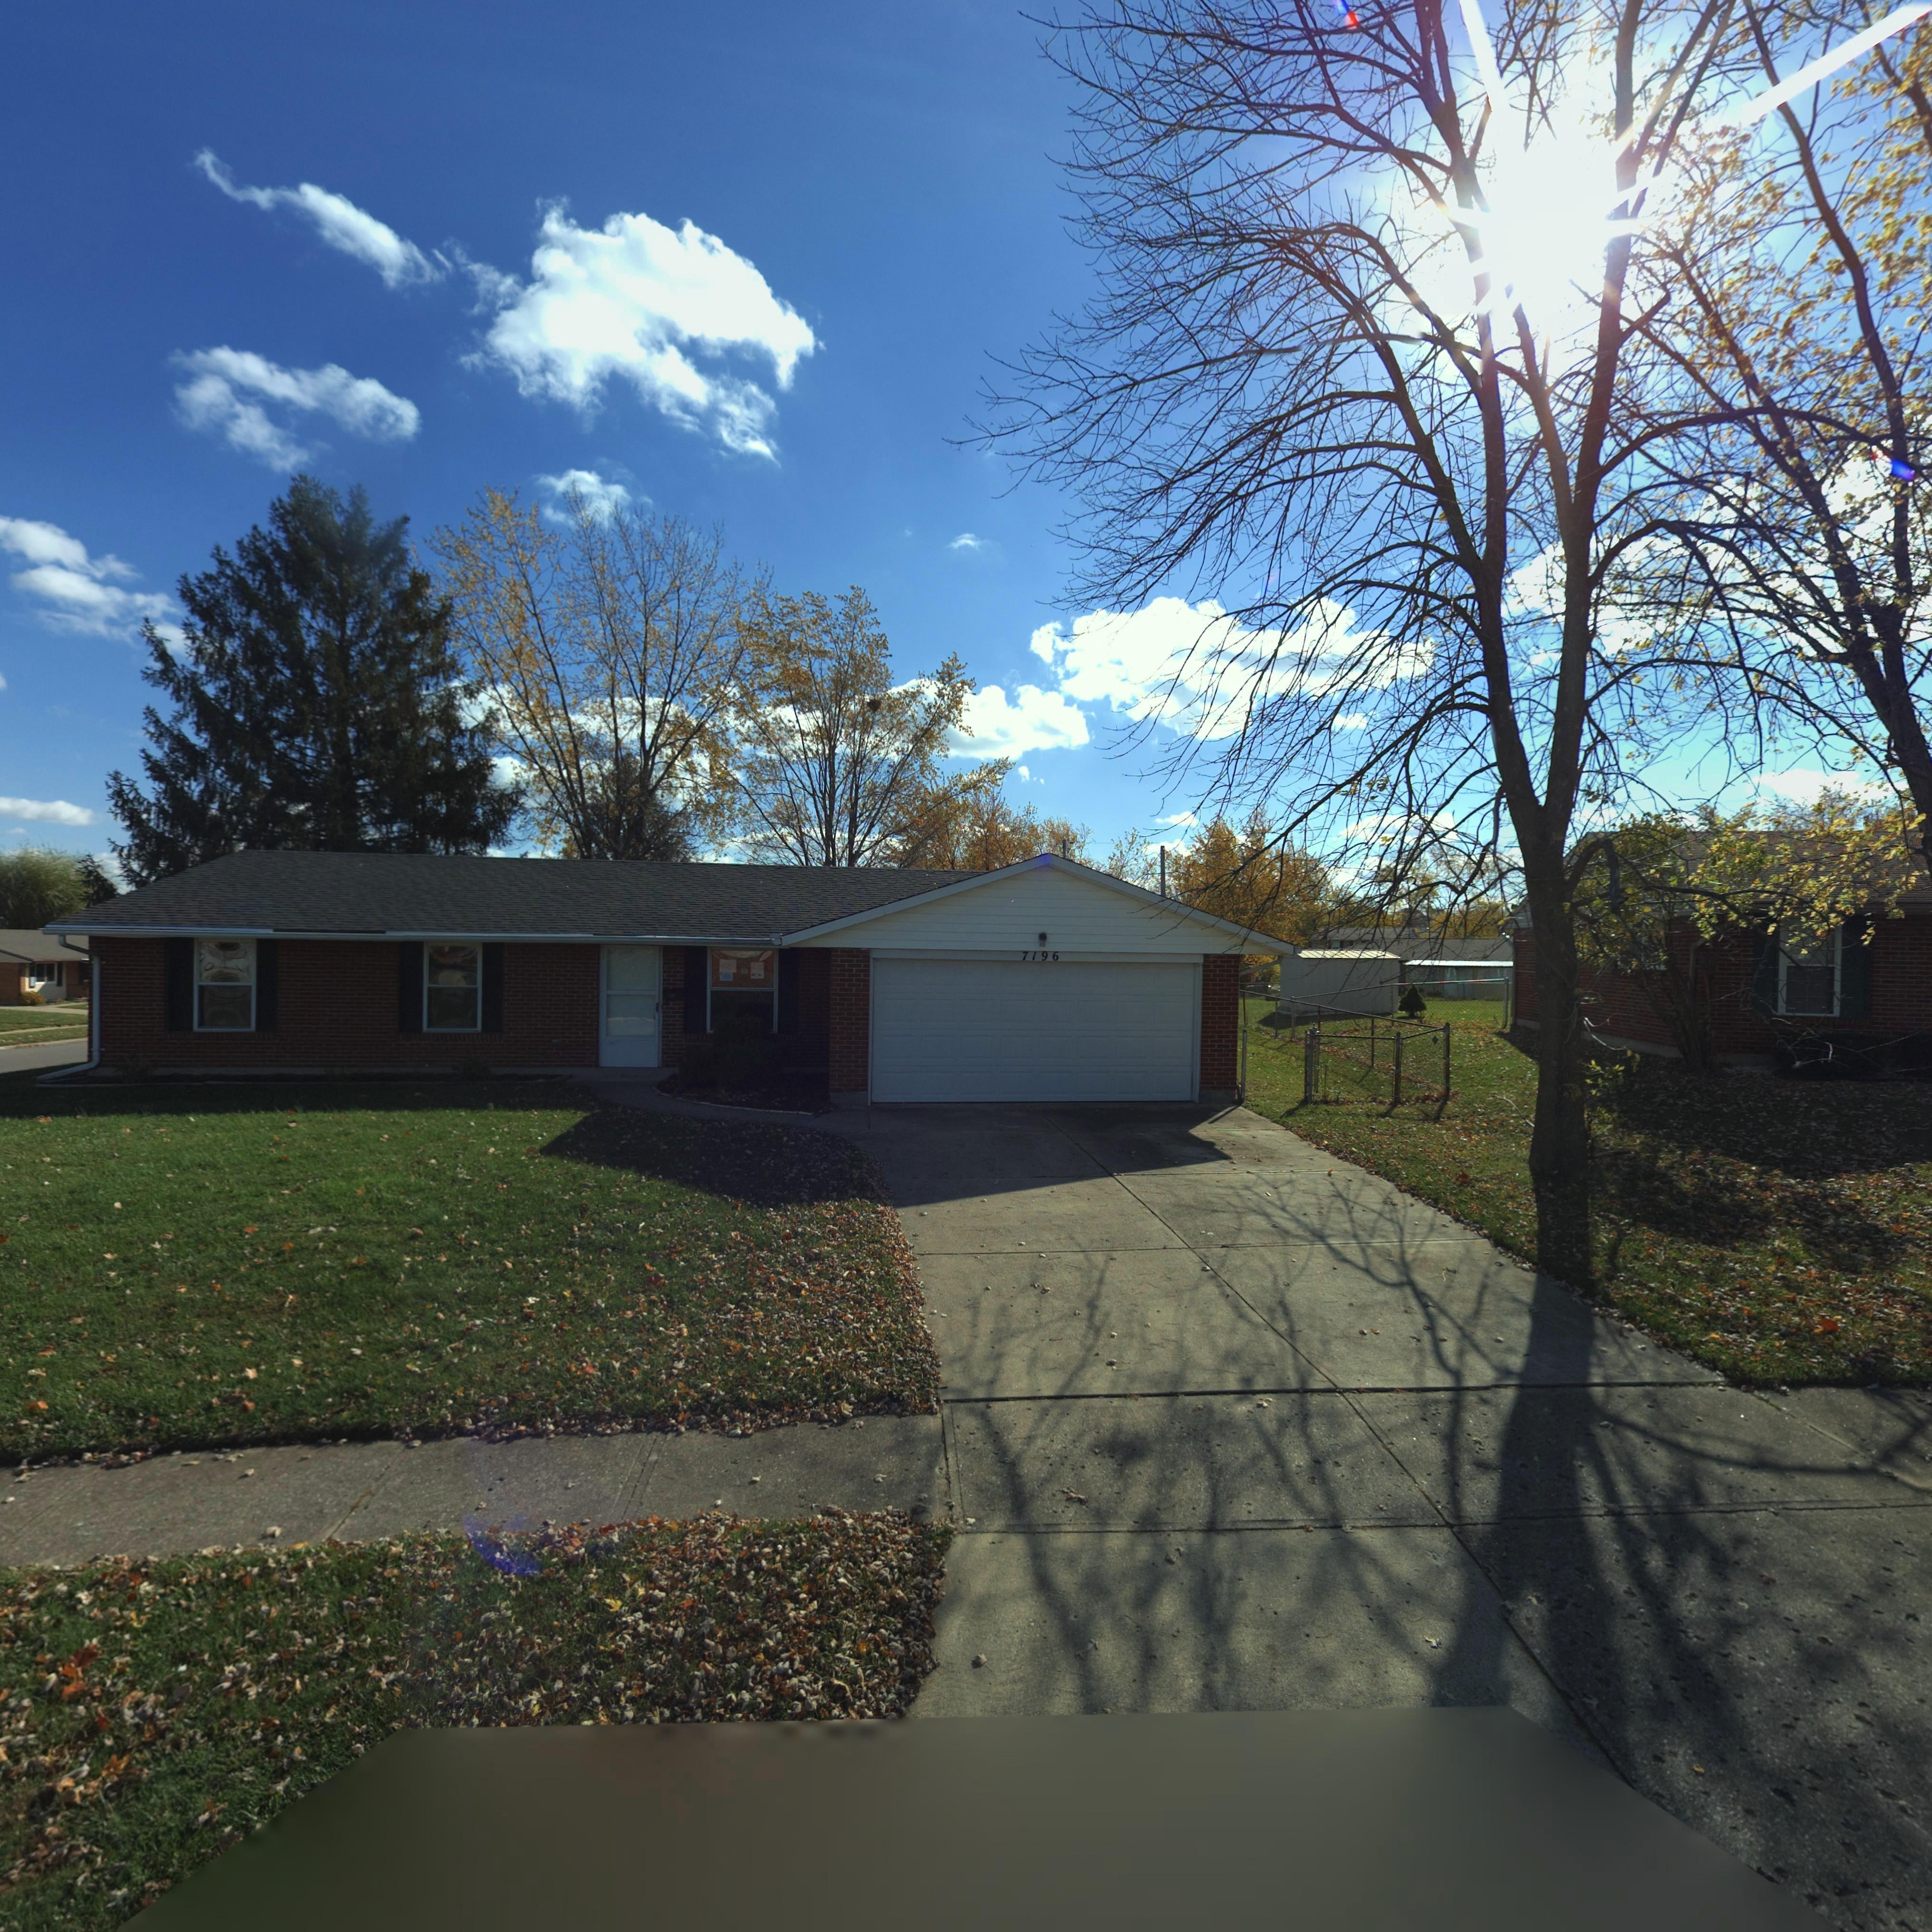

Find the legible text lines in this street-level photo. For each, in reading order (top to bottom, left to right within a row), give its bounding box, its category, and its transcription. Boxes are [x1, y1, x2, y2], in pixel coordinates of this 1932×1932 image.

[1021, 950, 1061, 962] StreetNumber: 7196